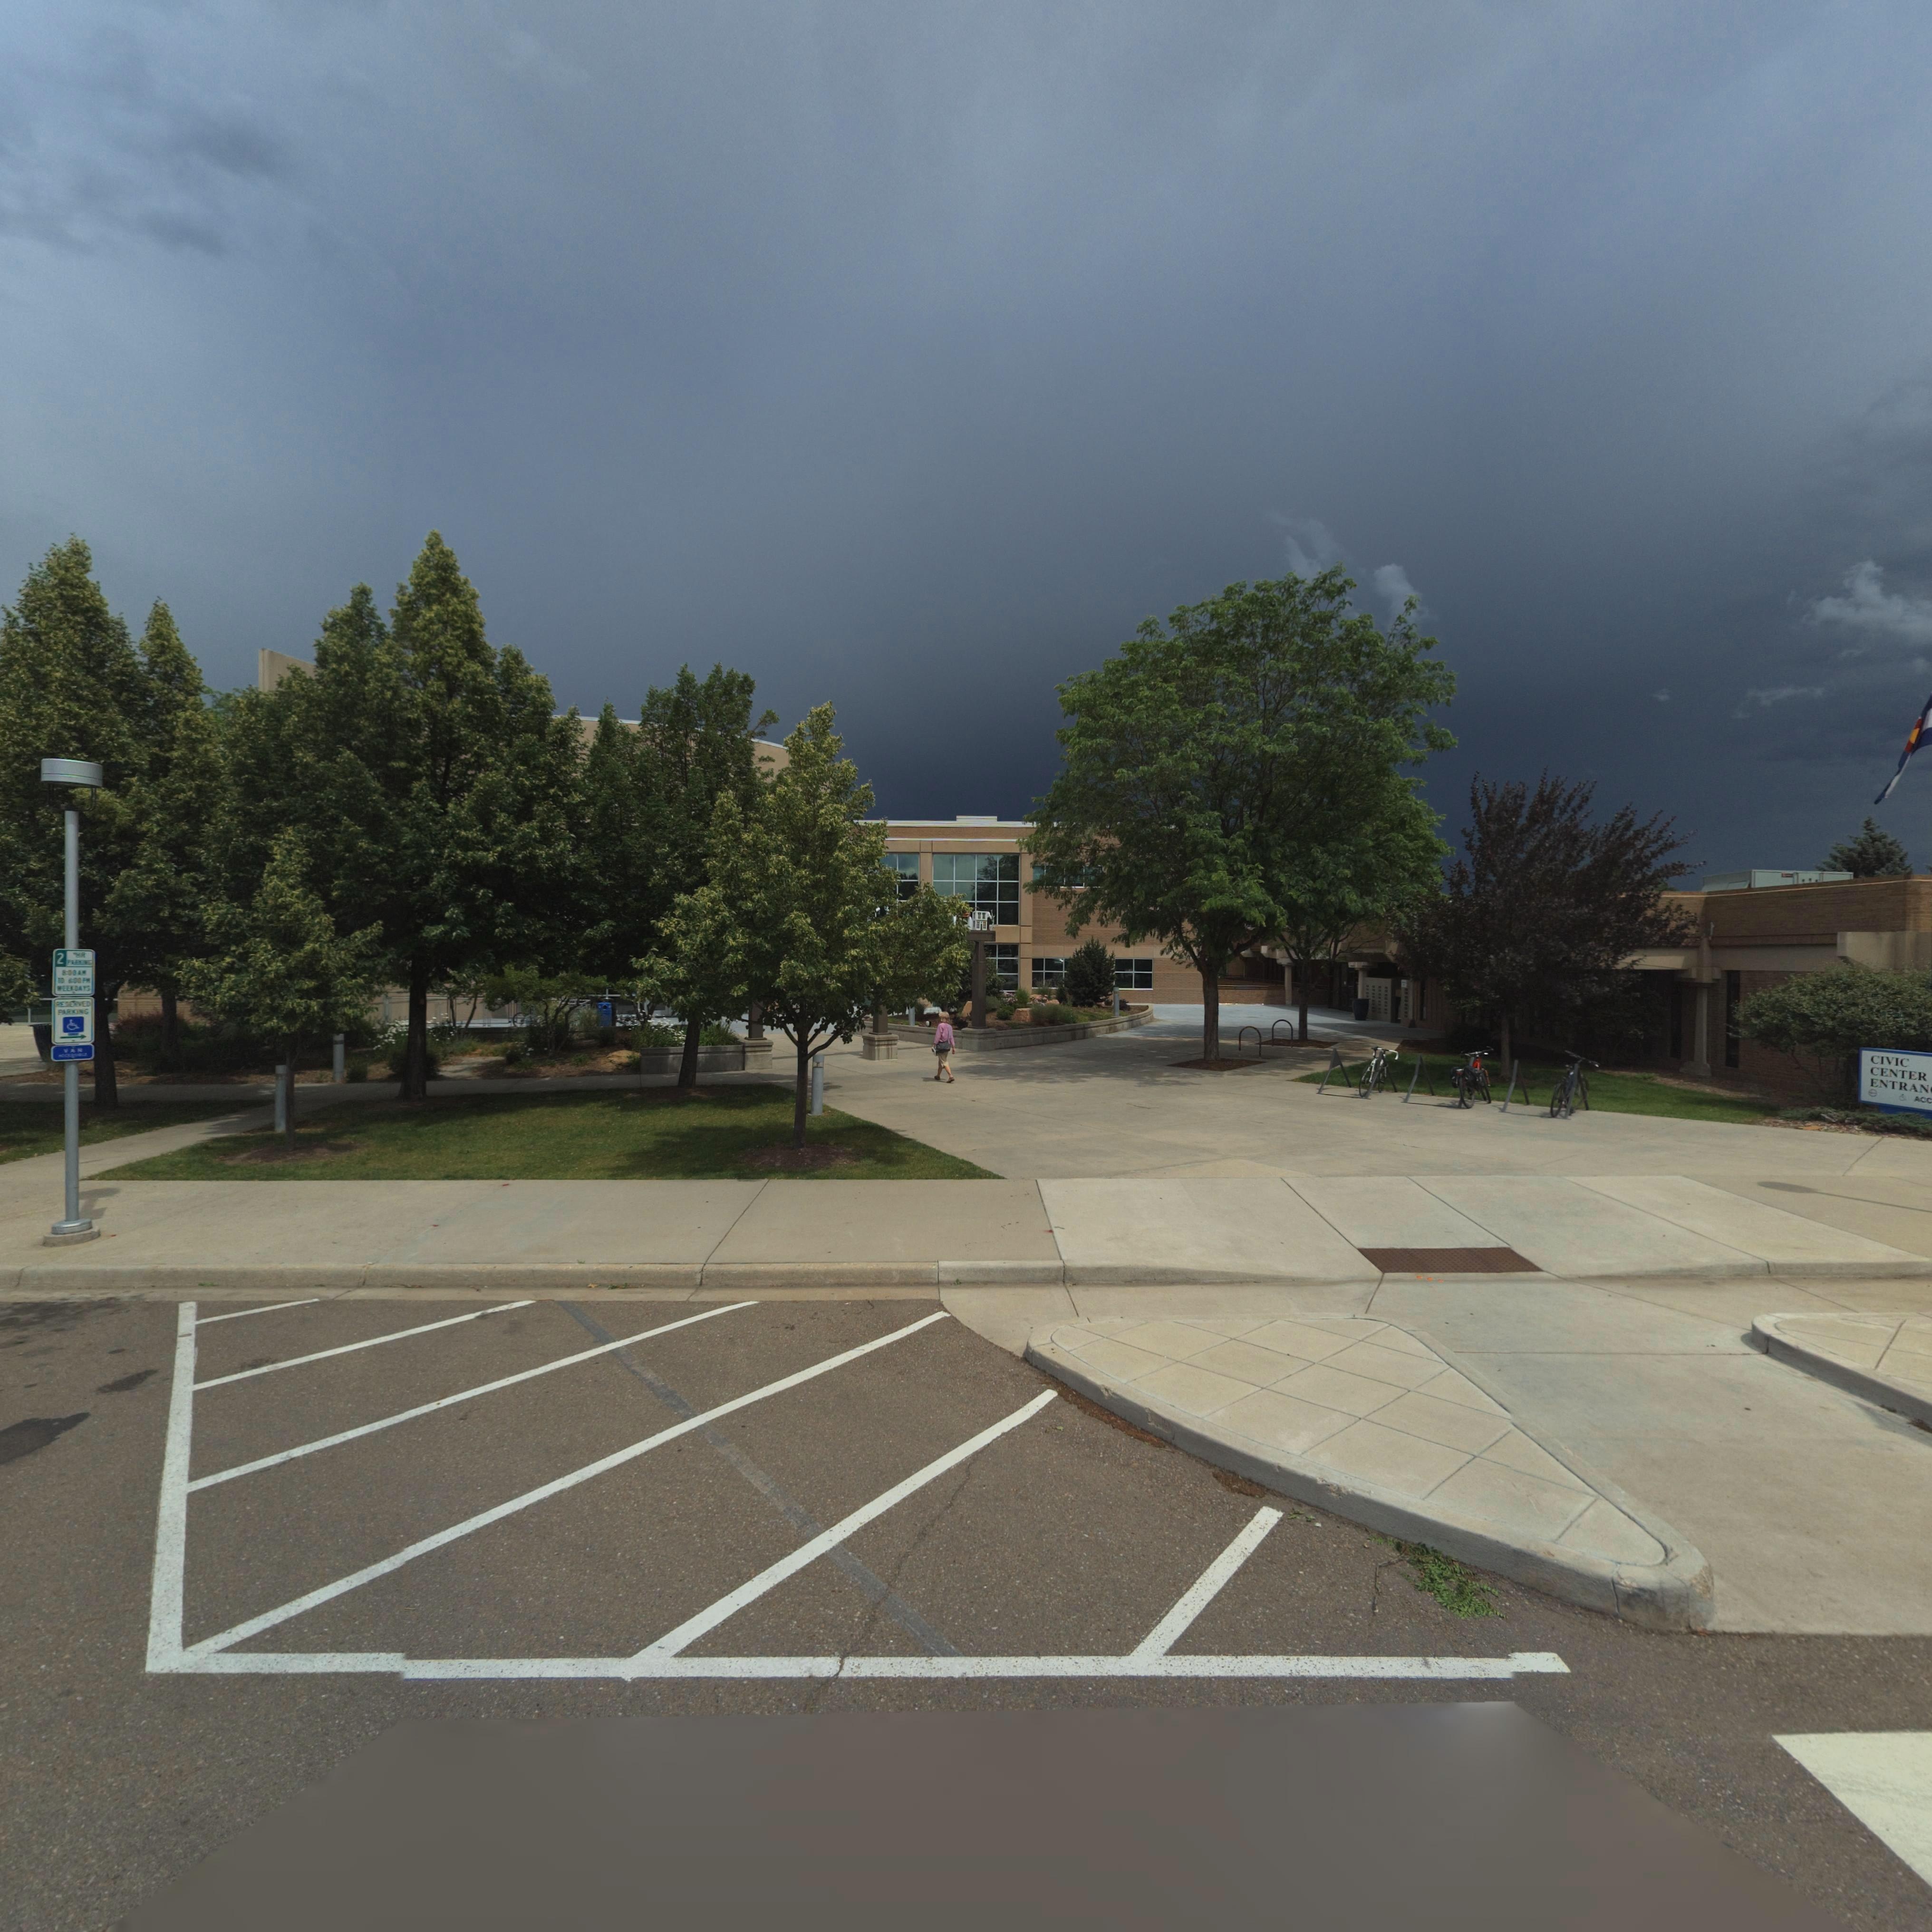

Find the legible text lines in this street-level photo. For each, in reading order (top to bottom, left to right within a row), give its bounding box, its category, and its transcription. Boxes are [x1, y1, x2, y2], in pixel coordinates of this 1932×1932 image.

[1871, 1054, 1909, 1068] BusinessName: CIVIC
[1870, 1066, 1928, 1082] BusinessName: CENTER